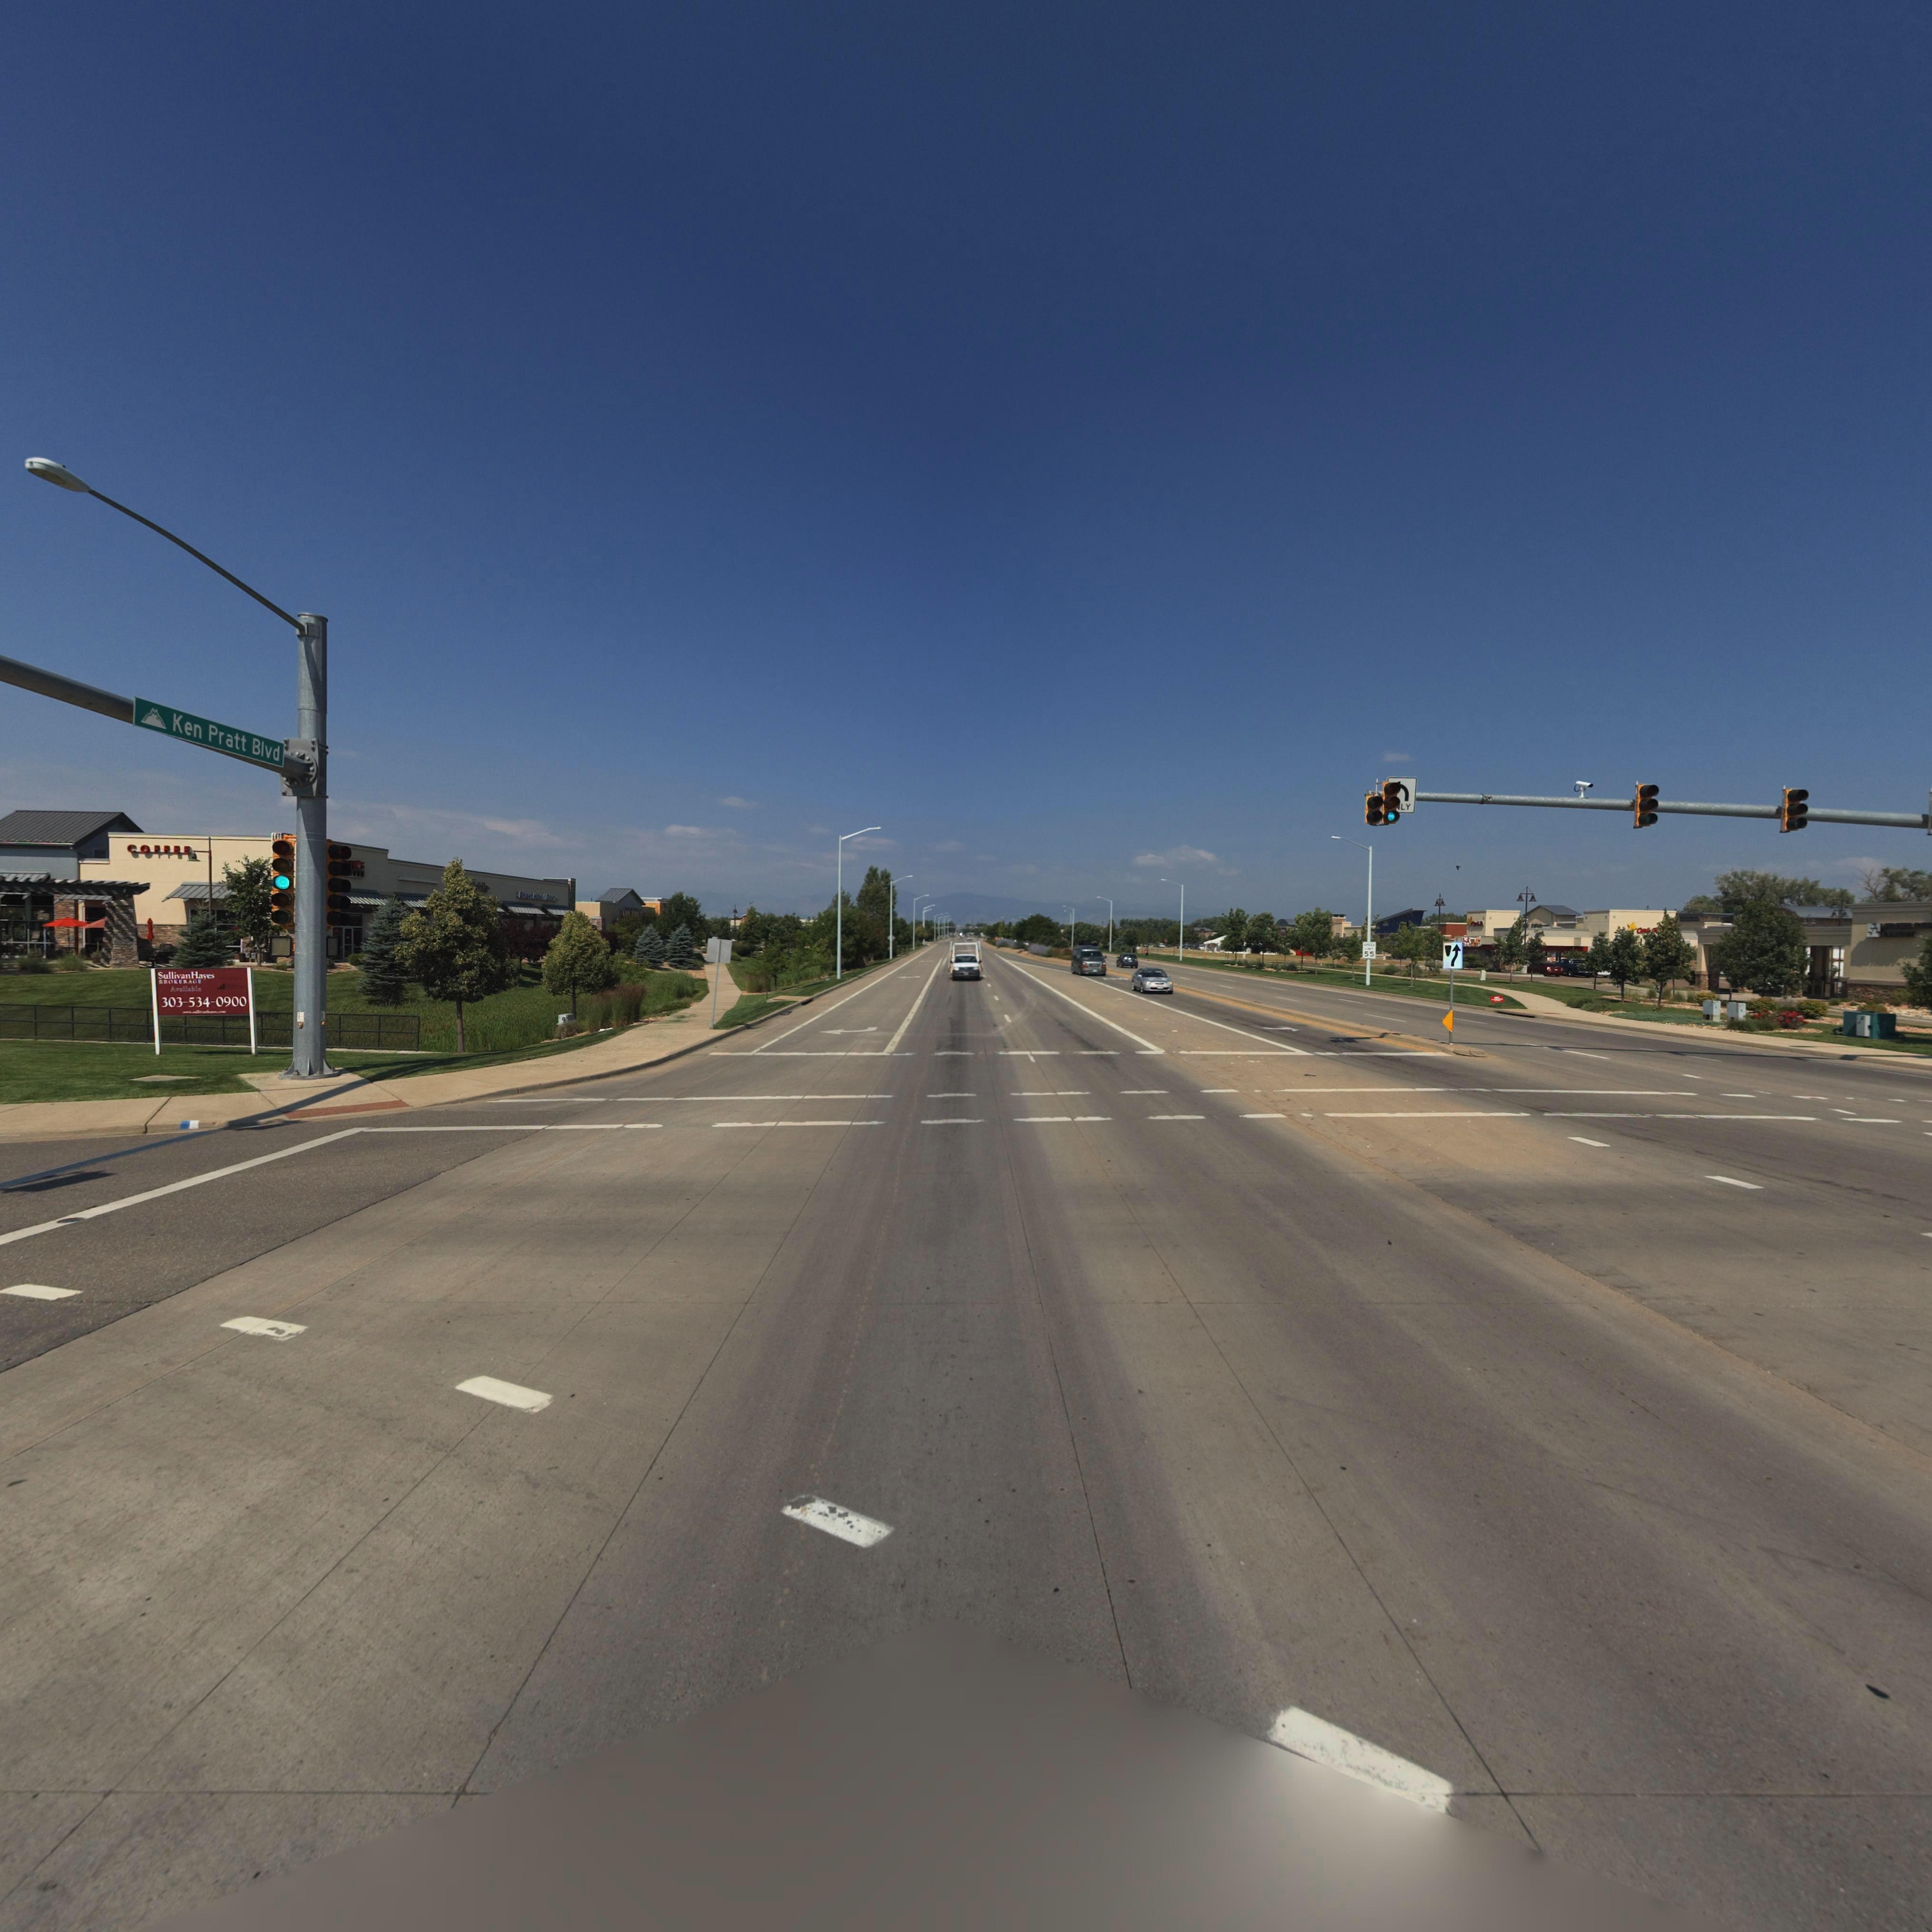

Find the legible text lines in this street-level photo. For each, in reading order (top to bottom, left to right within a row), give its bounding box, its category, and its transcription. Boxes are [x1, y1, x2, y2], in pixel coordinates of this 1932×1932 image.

[172, 712, 280, 762] StreetName: Ken Pratt Blvd
[127, 844, 189, 855] BusinessName: COFFEE
[349, 859, 365, 869] BusinessName: F*OG
[353, 869, 366, 877] BusinessName: FEE
[475, 881, 488, 893] BusinessName: obile
[519, 891, 559, 901] BusinessName: BR***T N*W* * DENT*L